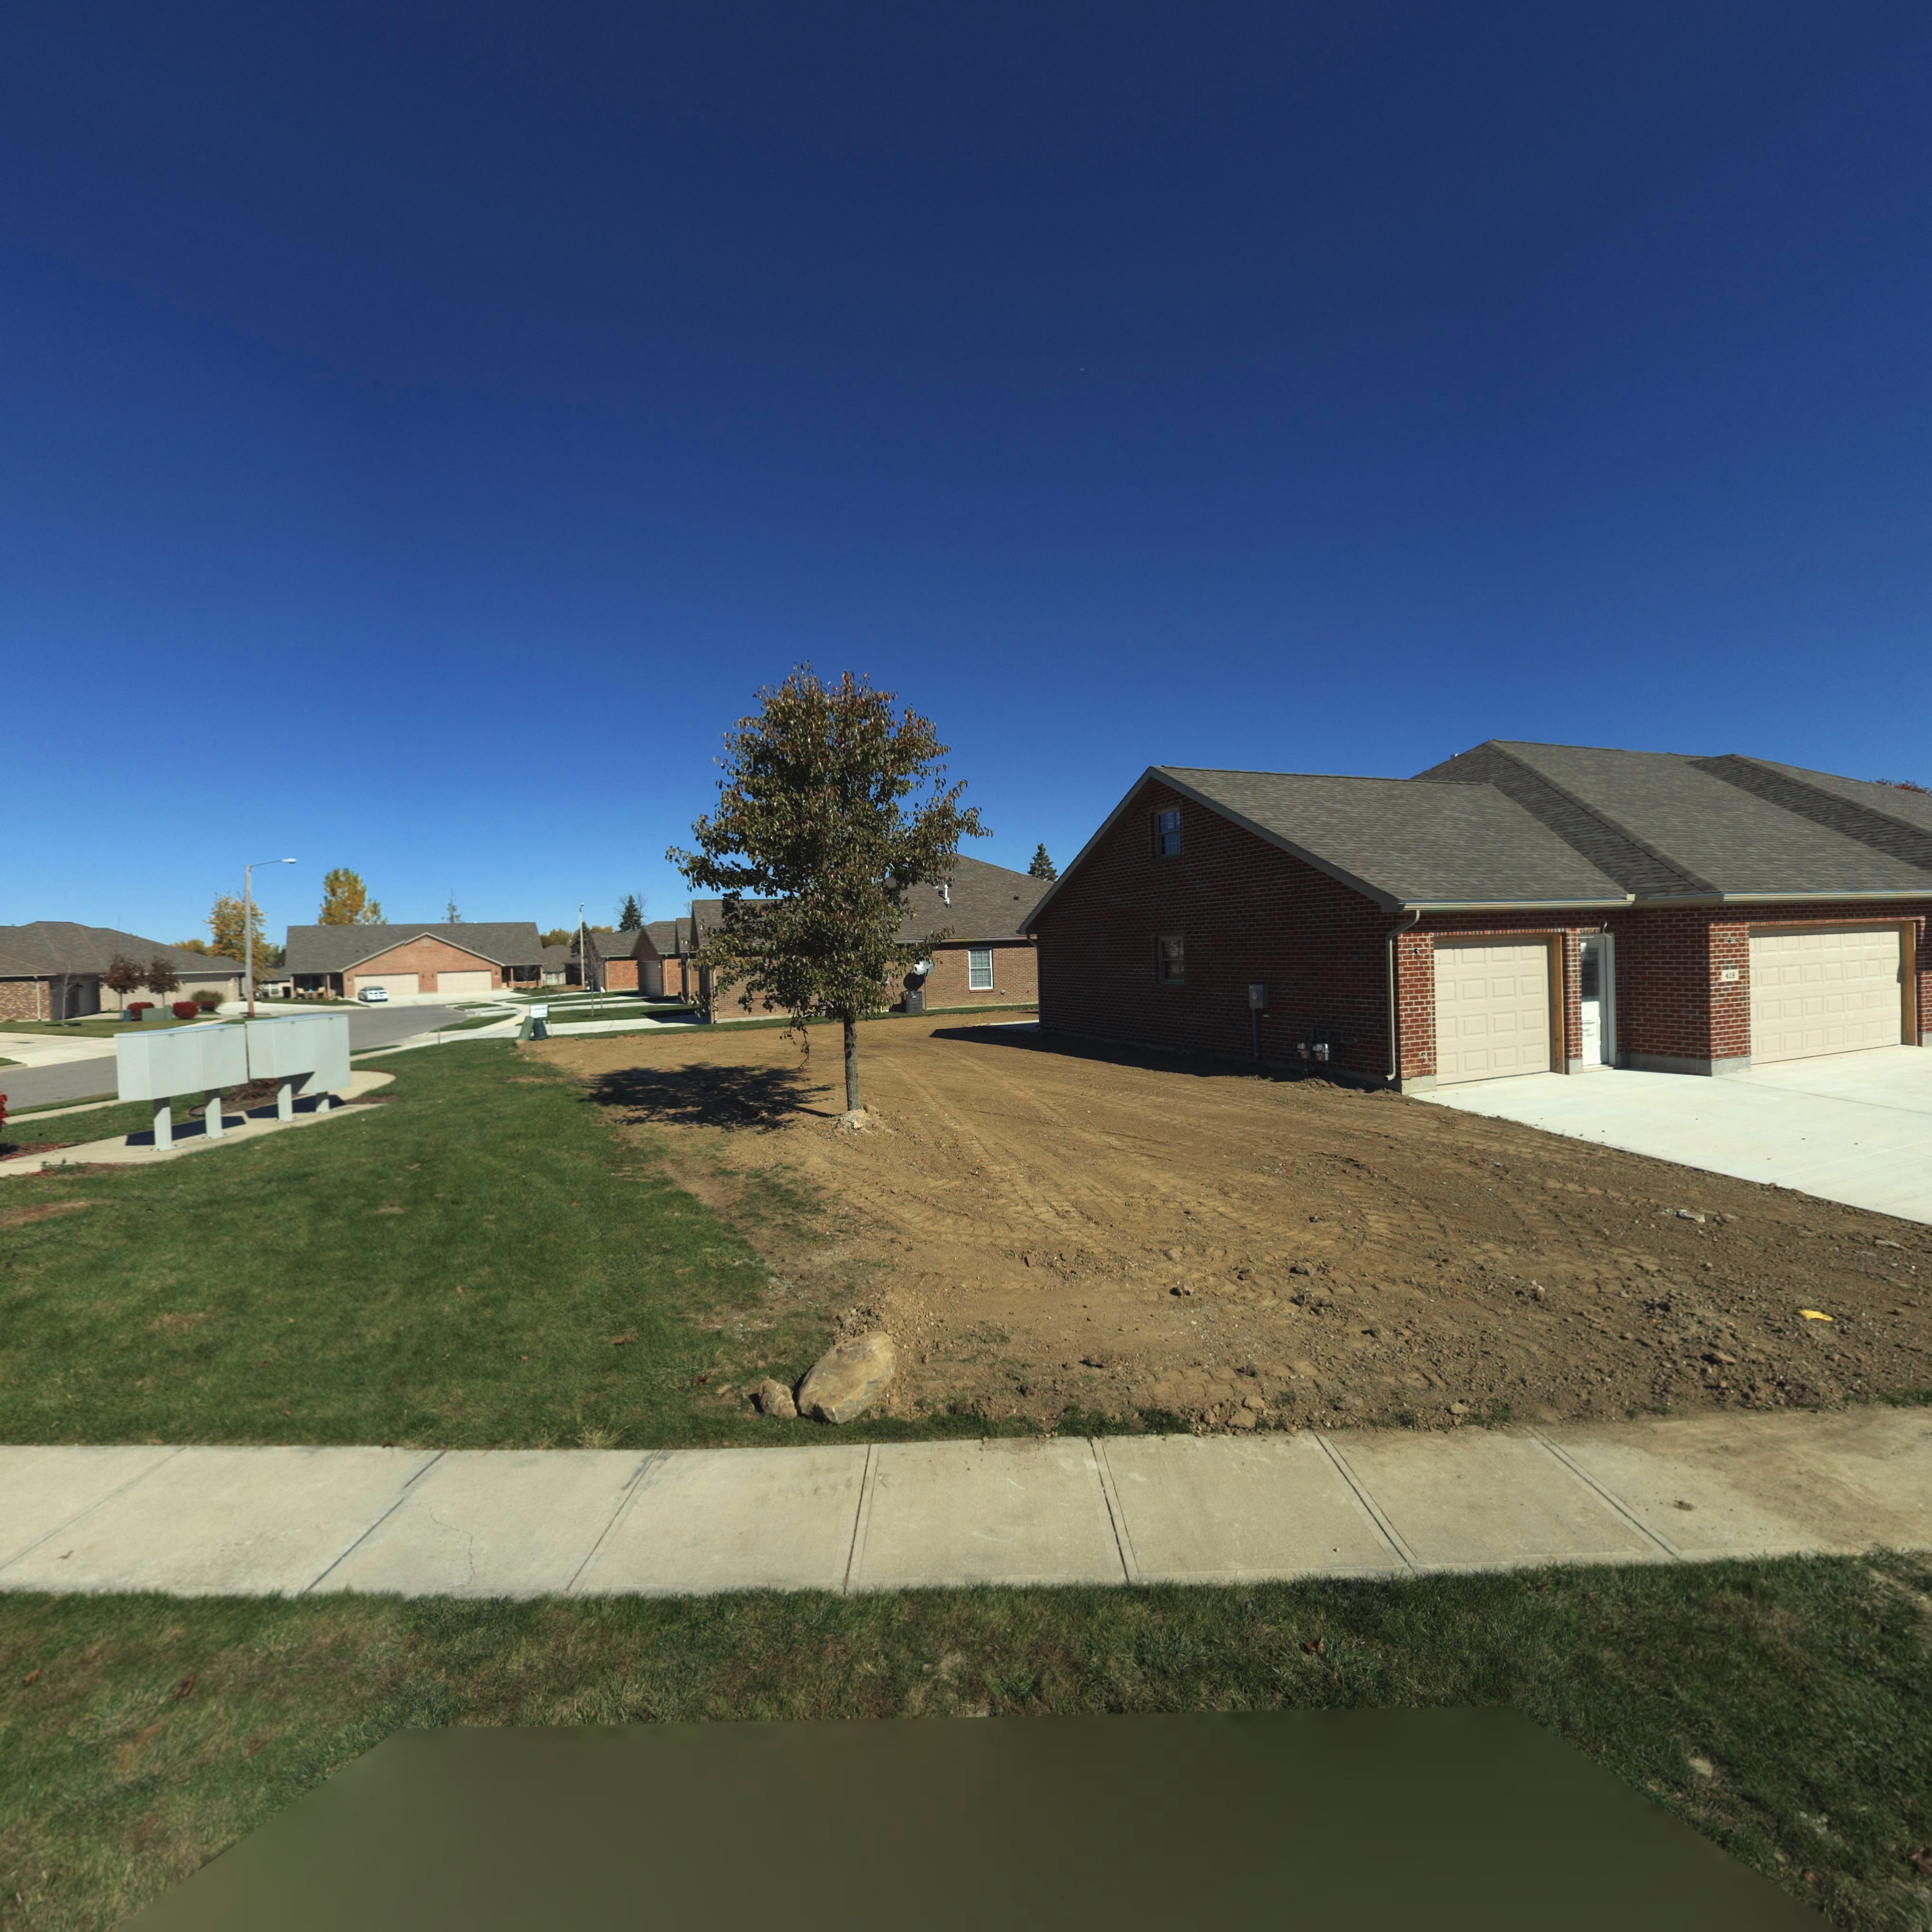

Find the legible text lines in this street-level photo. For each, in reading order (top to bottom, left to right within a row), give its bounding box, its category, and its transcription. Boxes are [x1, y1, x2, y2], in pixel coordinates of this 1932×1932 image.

[1724, 971, 1736, 980] StreetNumber: 418